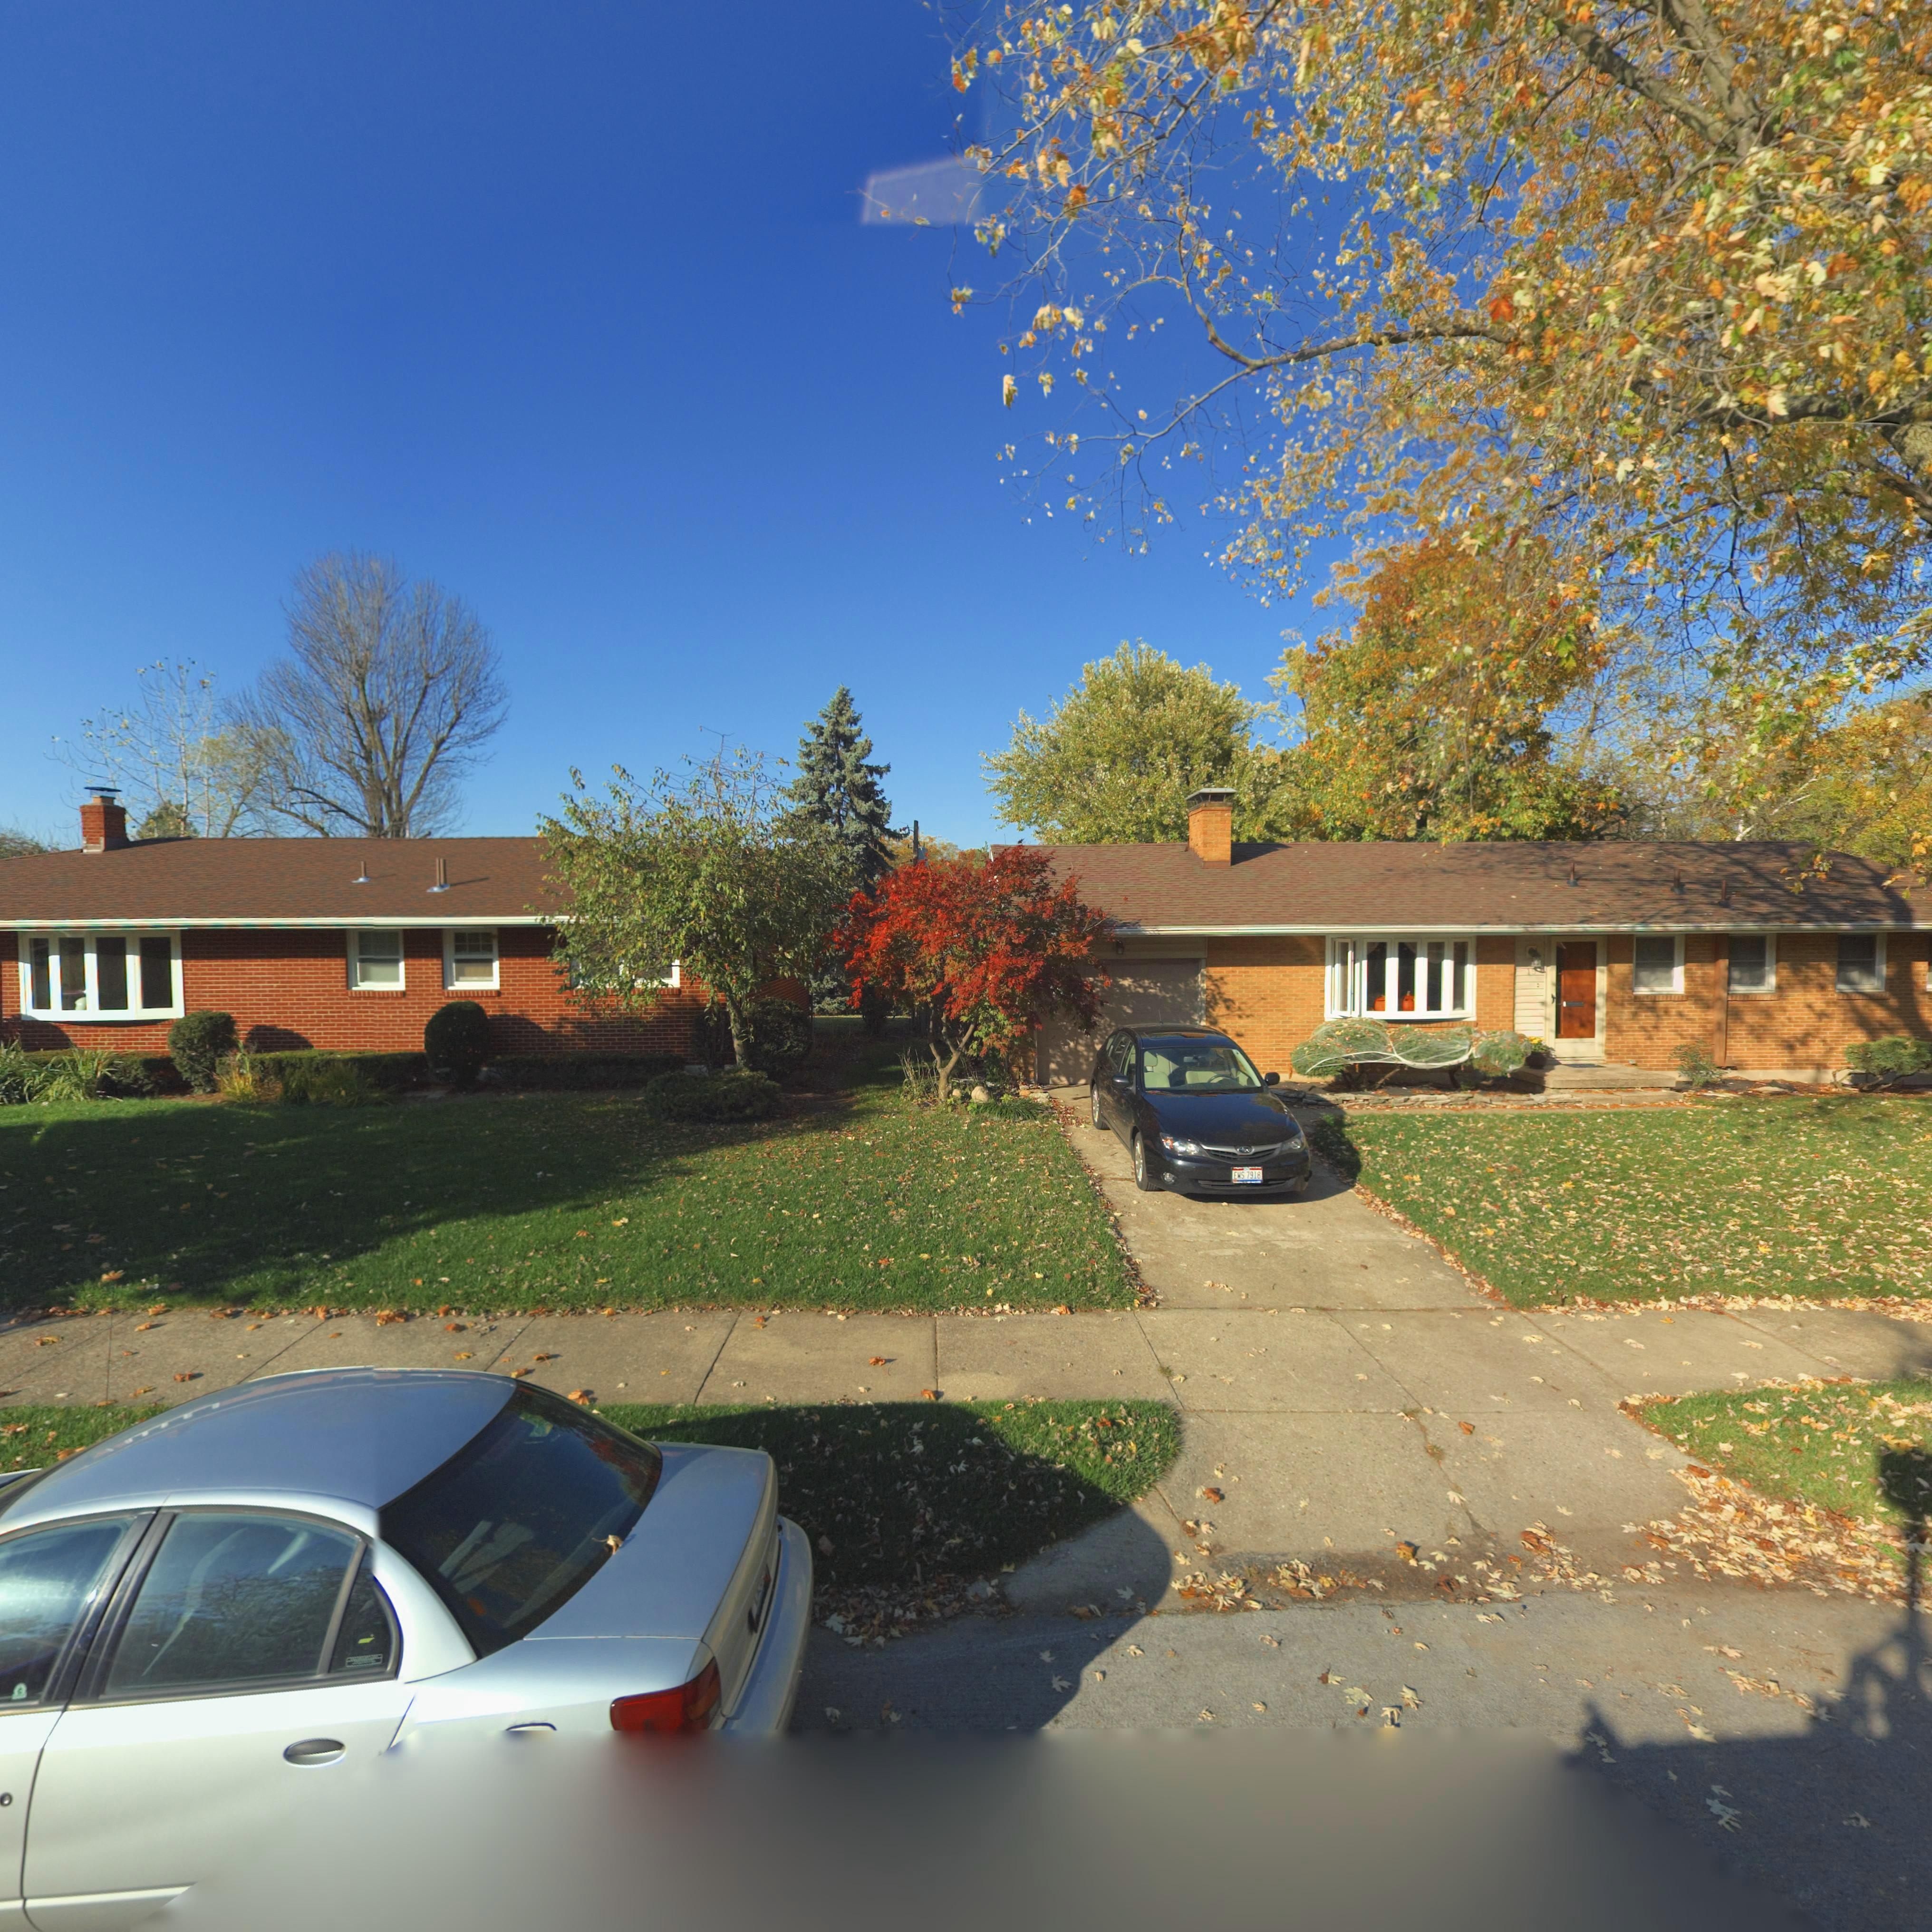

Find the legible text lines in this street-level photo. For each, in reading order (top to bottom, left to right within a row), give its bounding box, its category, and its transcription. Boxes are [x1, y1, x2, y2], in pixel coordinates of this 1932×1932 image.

[1527, 967, 1536, 975] StreetNumber: 19